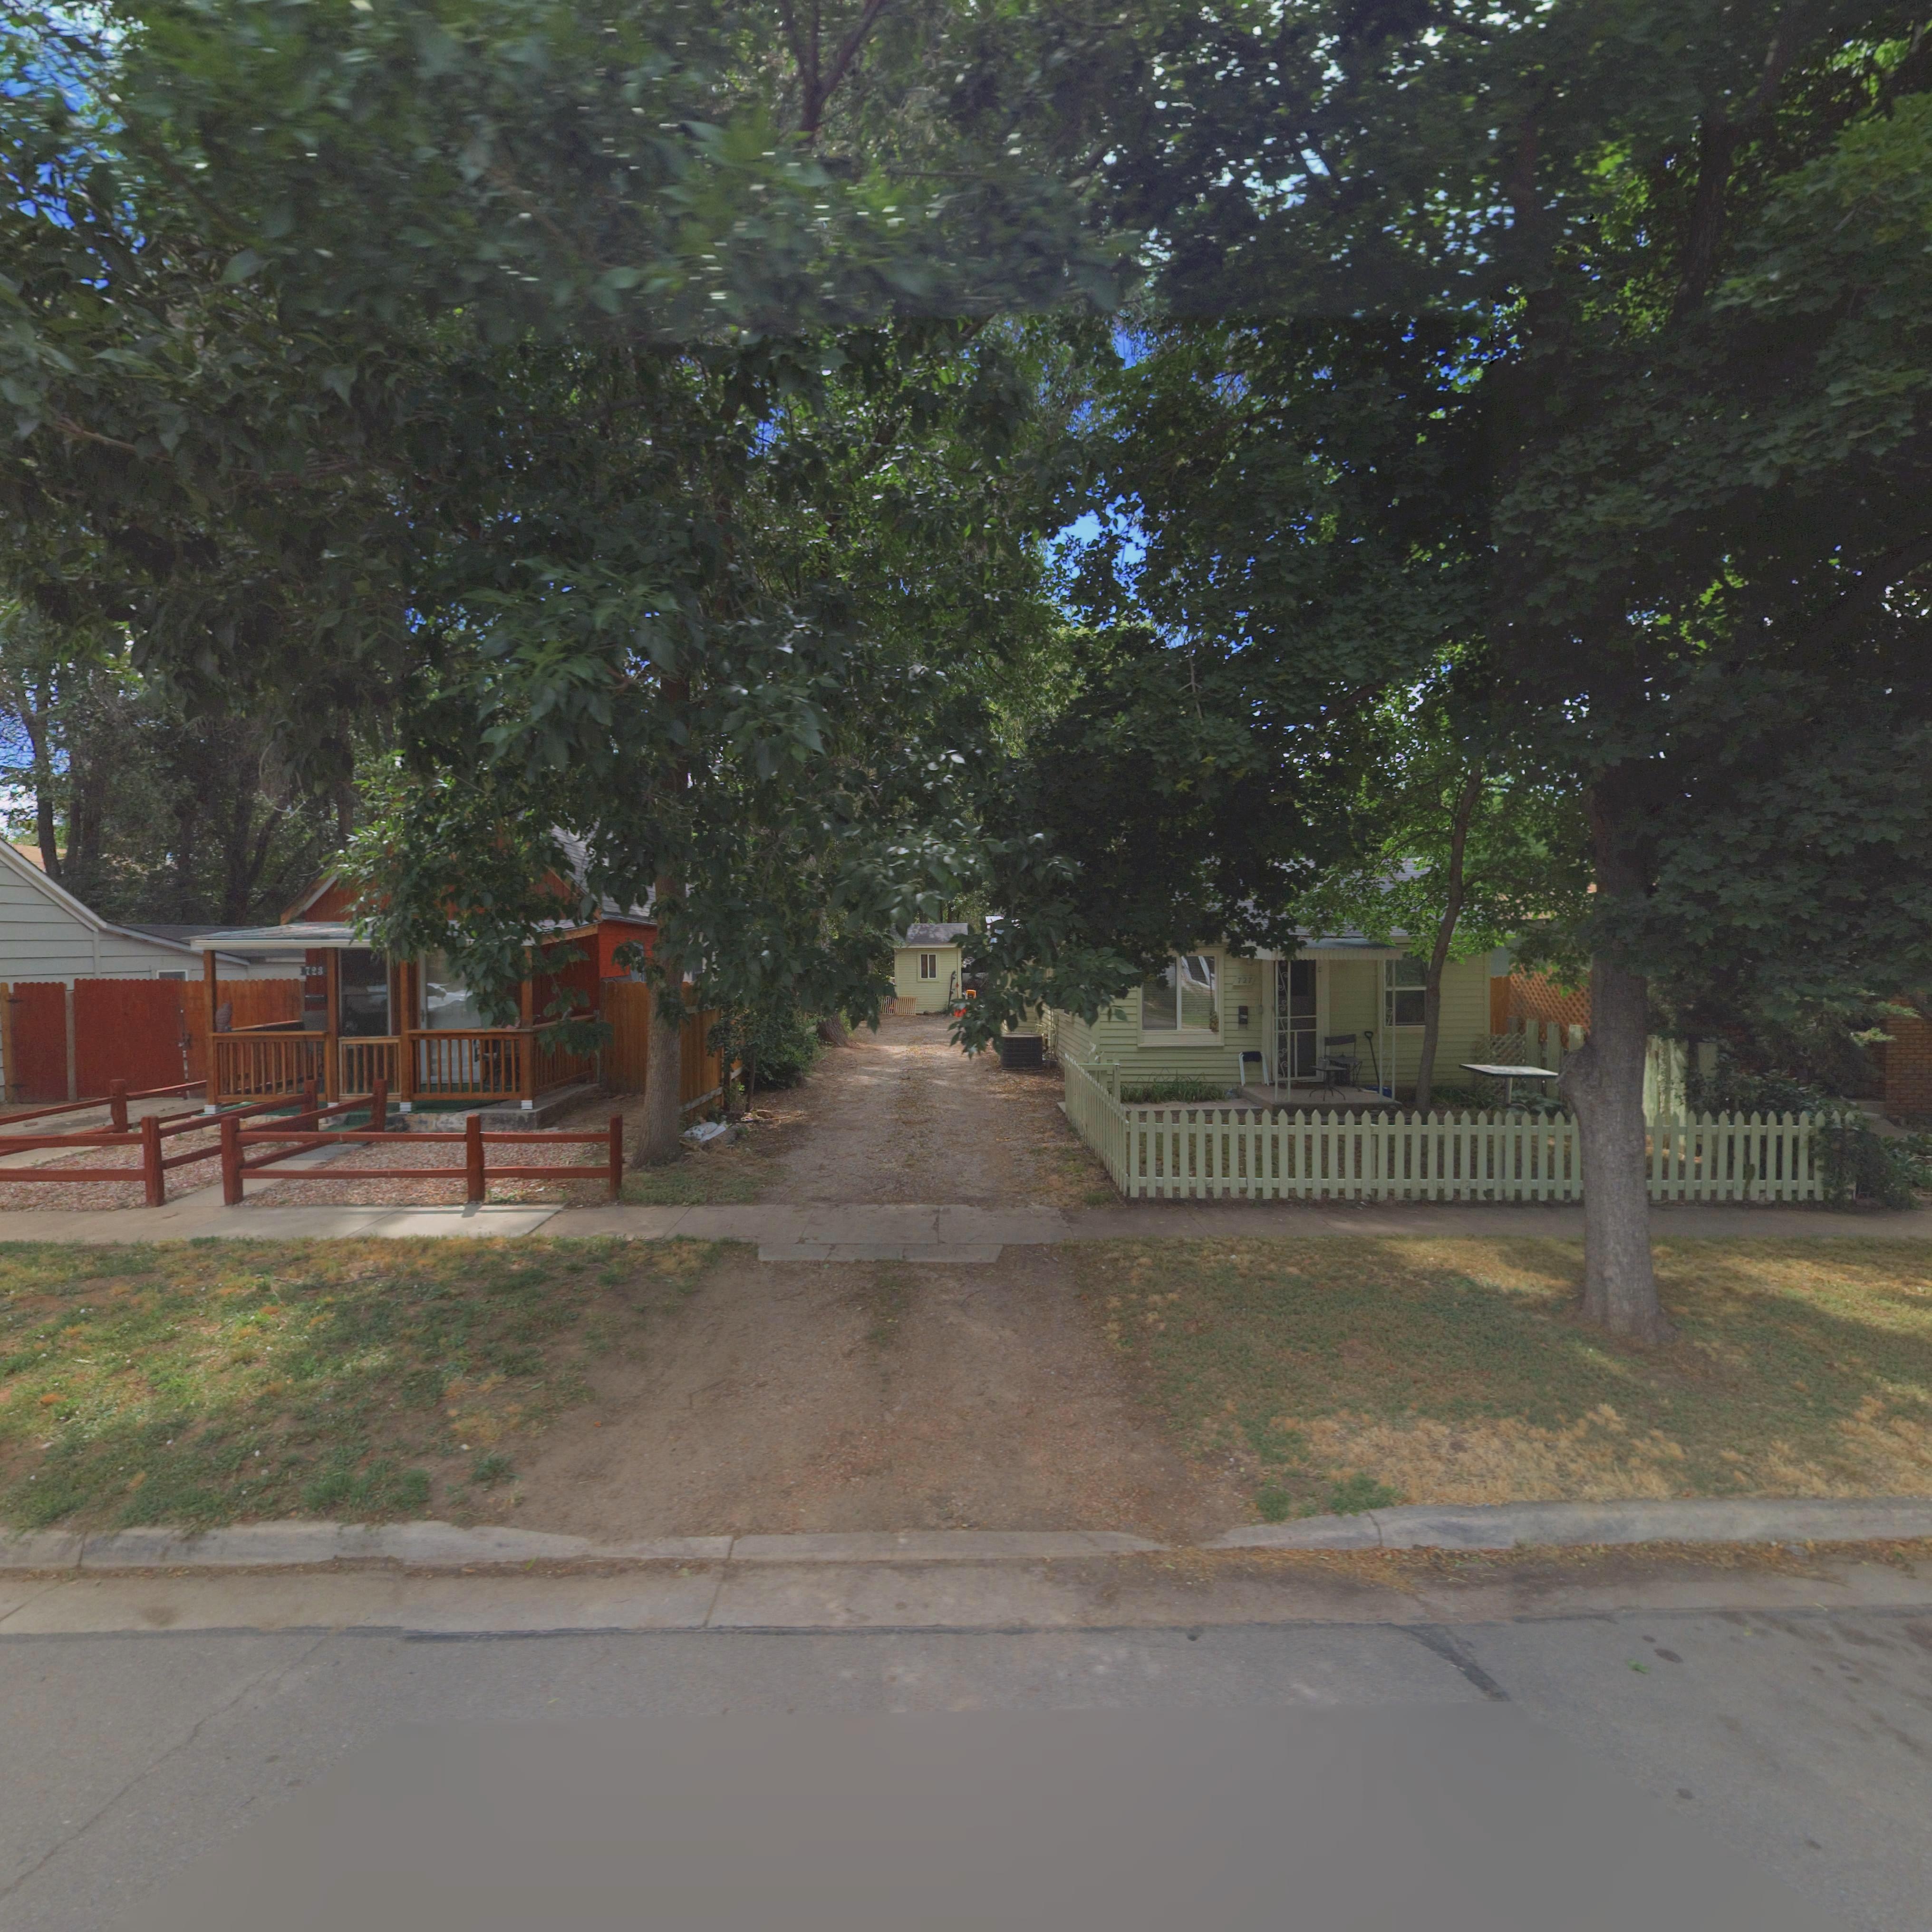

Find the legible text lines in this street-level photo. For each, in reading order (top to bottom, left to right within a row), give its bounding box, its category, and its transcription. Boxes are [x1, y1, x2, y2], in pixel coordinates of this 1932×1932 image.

[305, 966, 323, 975] StreetNumber: 723
[1237, 976, 1253, 984] StreetNumber: 727